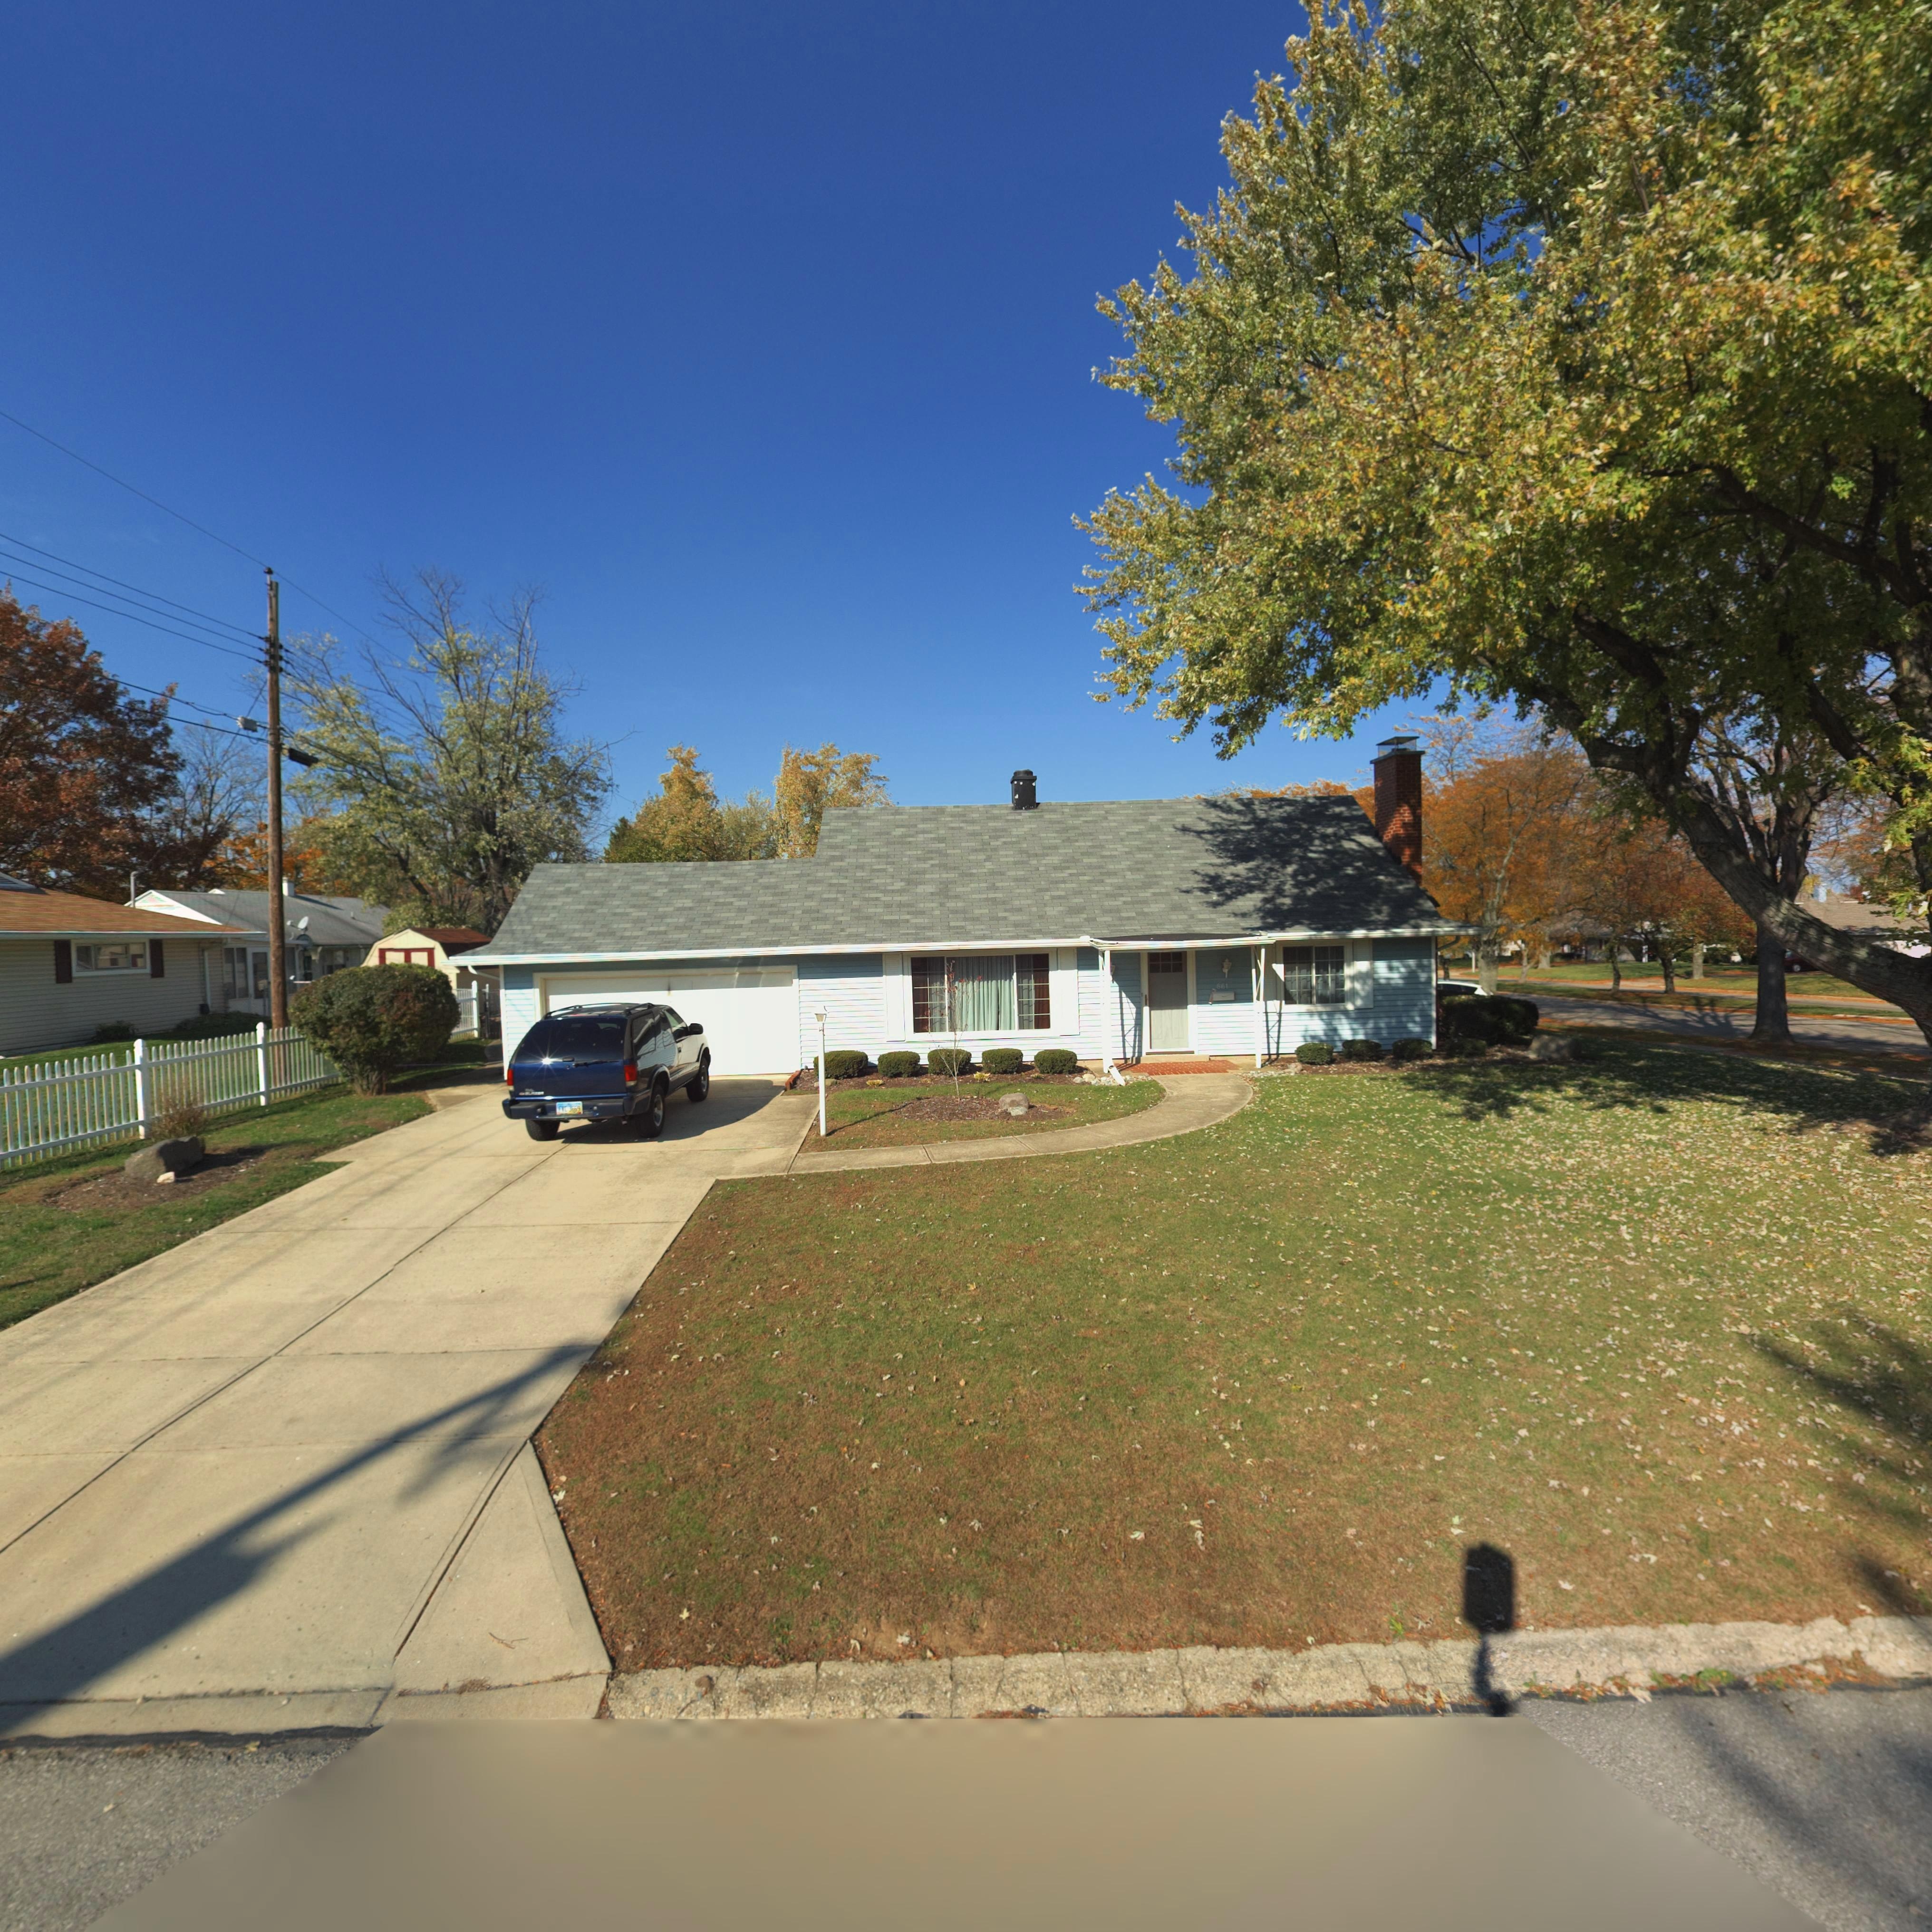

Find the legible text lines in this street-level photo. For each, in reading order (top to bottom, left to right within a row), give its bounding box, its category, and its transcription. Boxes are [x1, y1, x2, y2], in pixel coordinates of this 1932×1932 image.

[1216, 982, 1229, 990] StreetNumber: 861